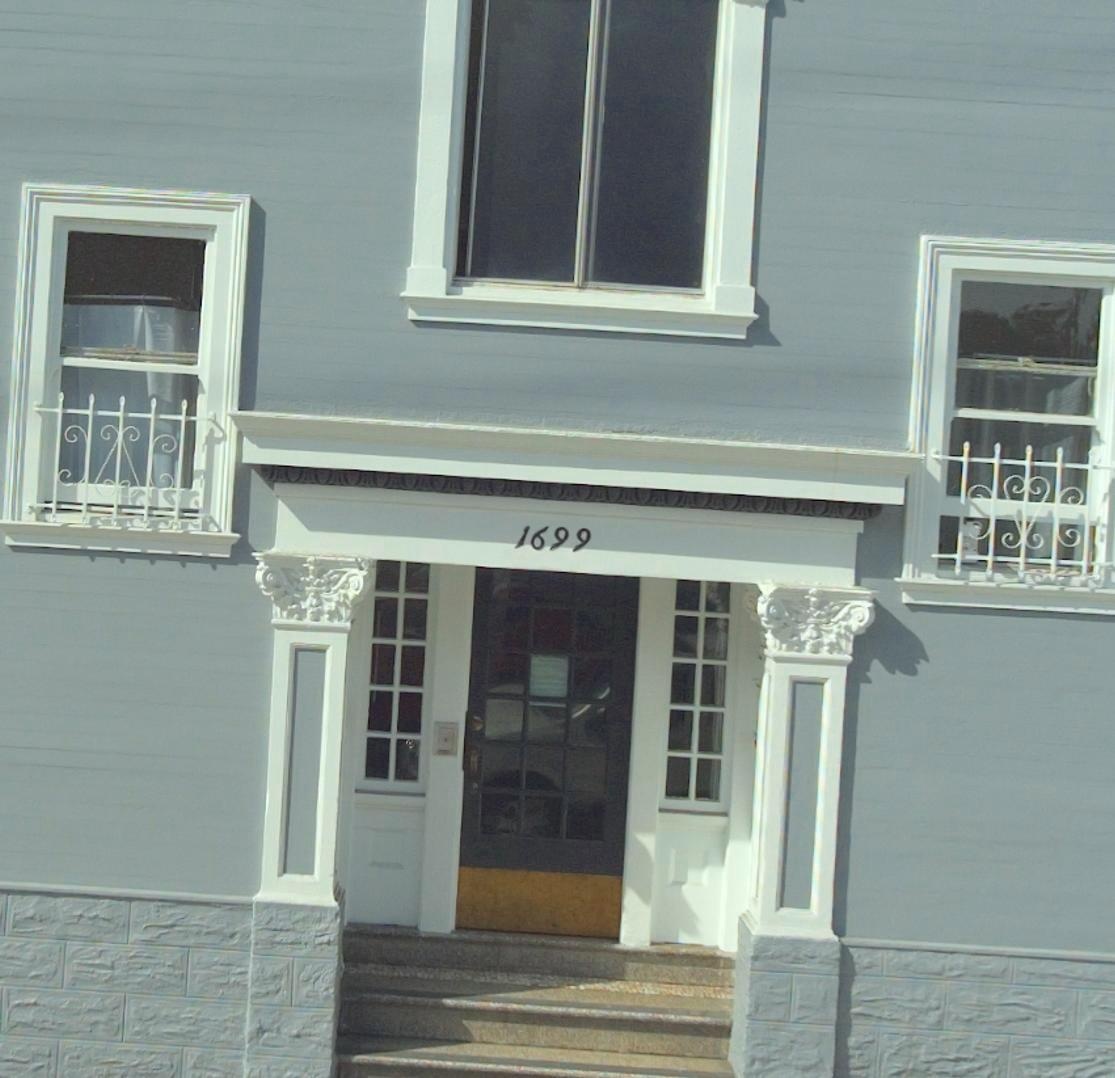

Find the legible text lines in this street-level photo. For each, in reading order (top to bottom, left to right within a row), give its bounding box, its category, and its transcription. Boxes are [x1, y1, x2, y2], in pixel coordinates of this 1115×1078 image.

[511, 523, 595, 555] StreetNumber: 1699